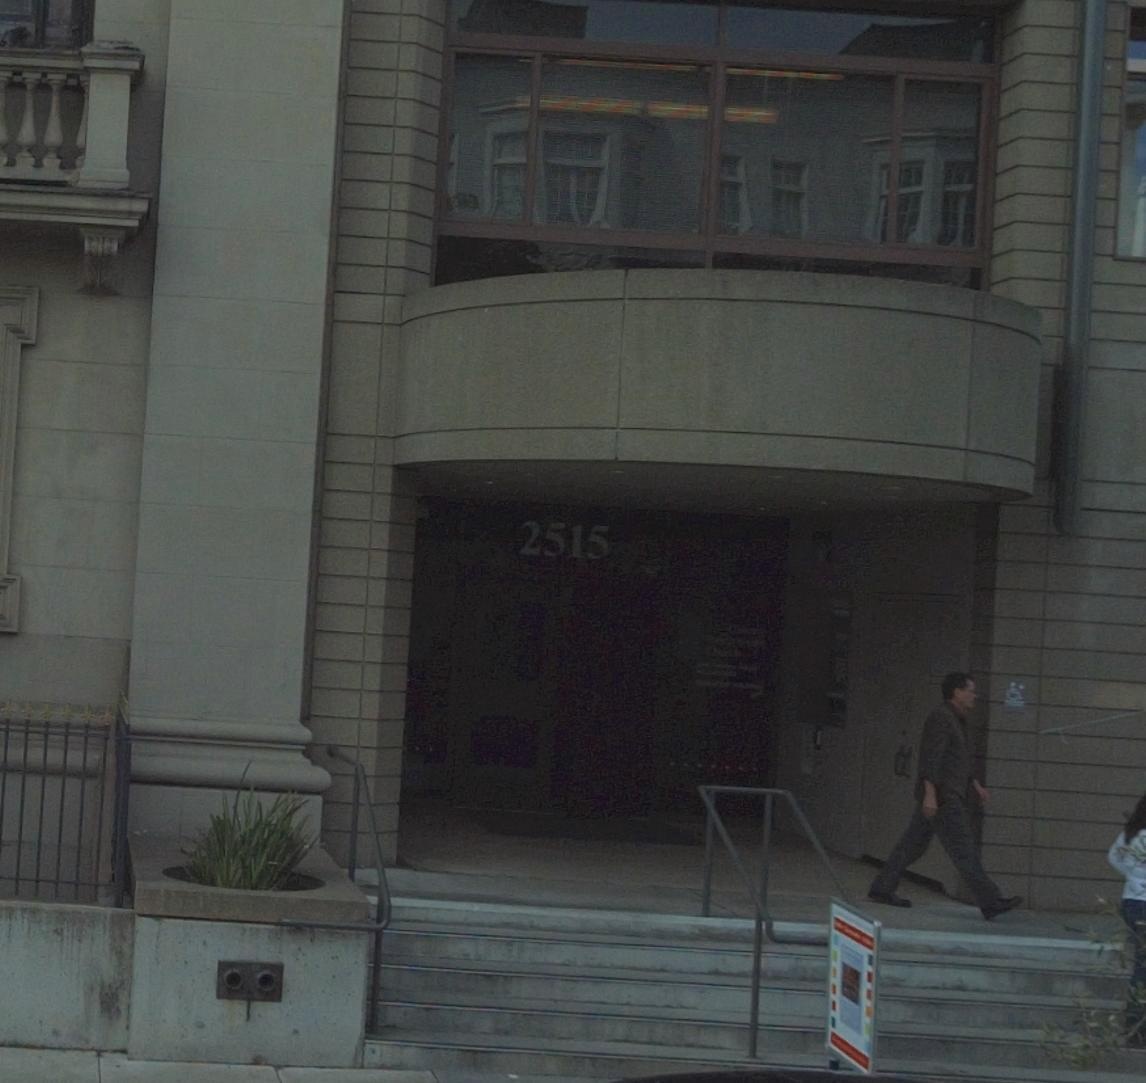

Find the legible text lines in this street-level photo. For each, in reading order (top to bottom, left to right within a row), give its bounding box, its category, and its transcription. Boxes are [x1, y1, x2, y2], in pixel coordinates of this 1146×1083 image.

[514, 517, 613, 566] StreetNumber: 2515